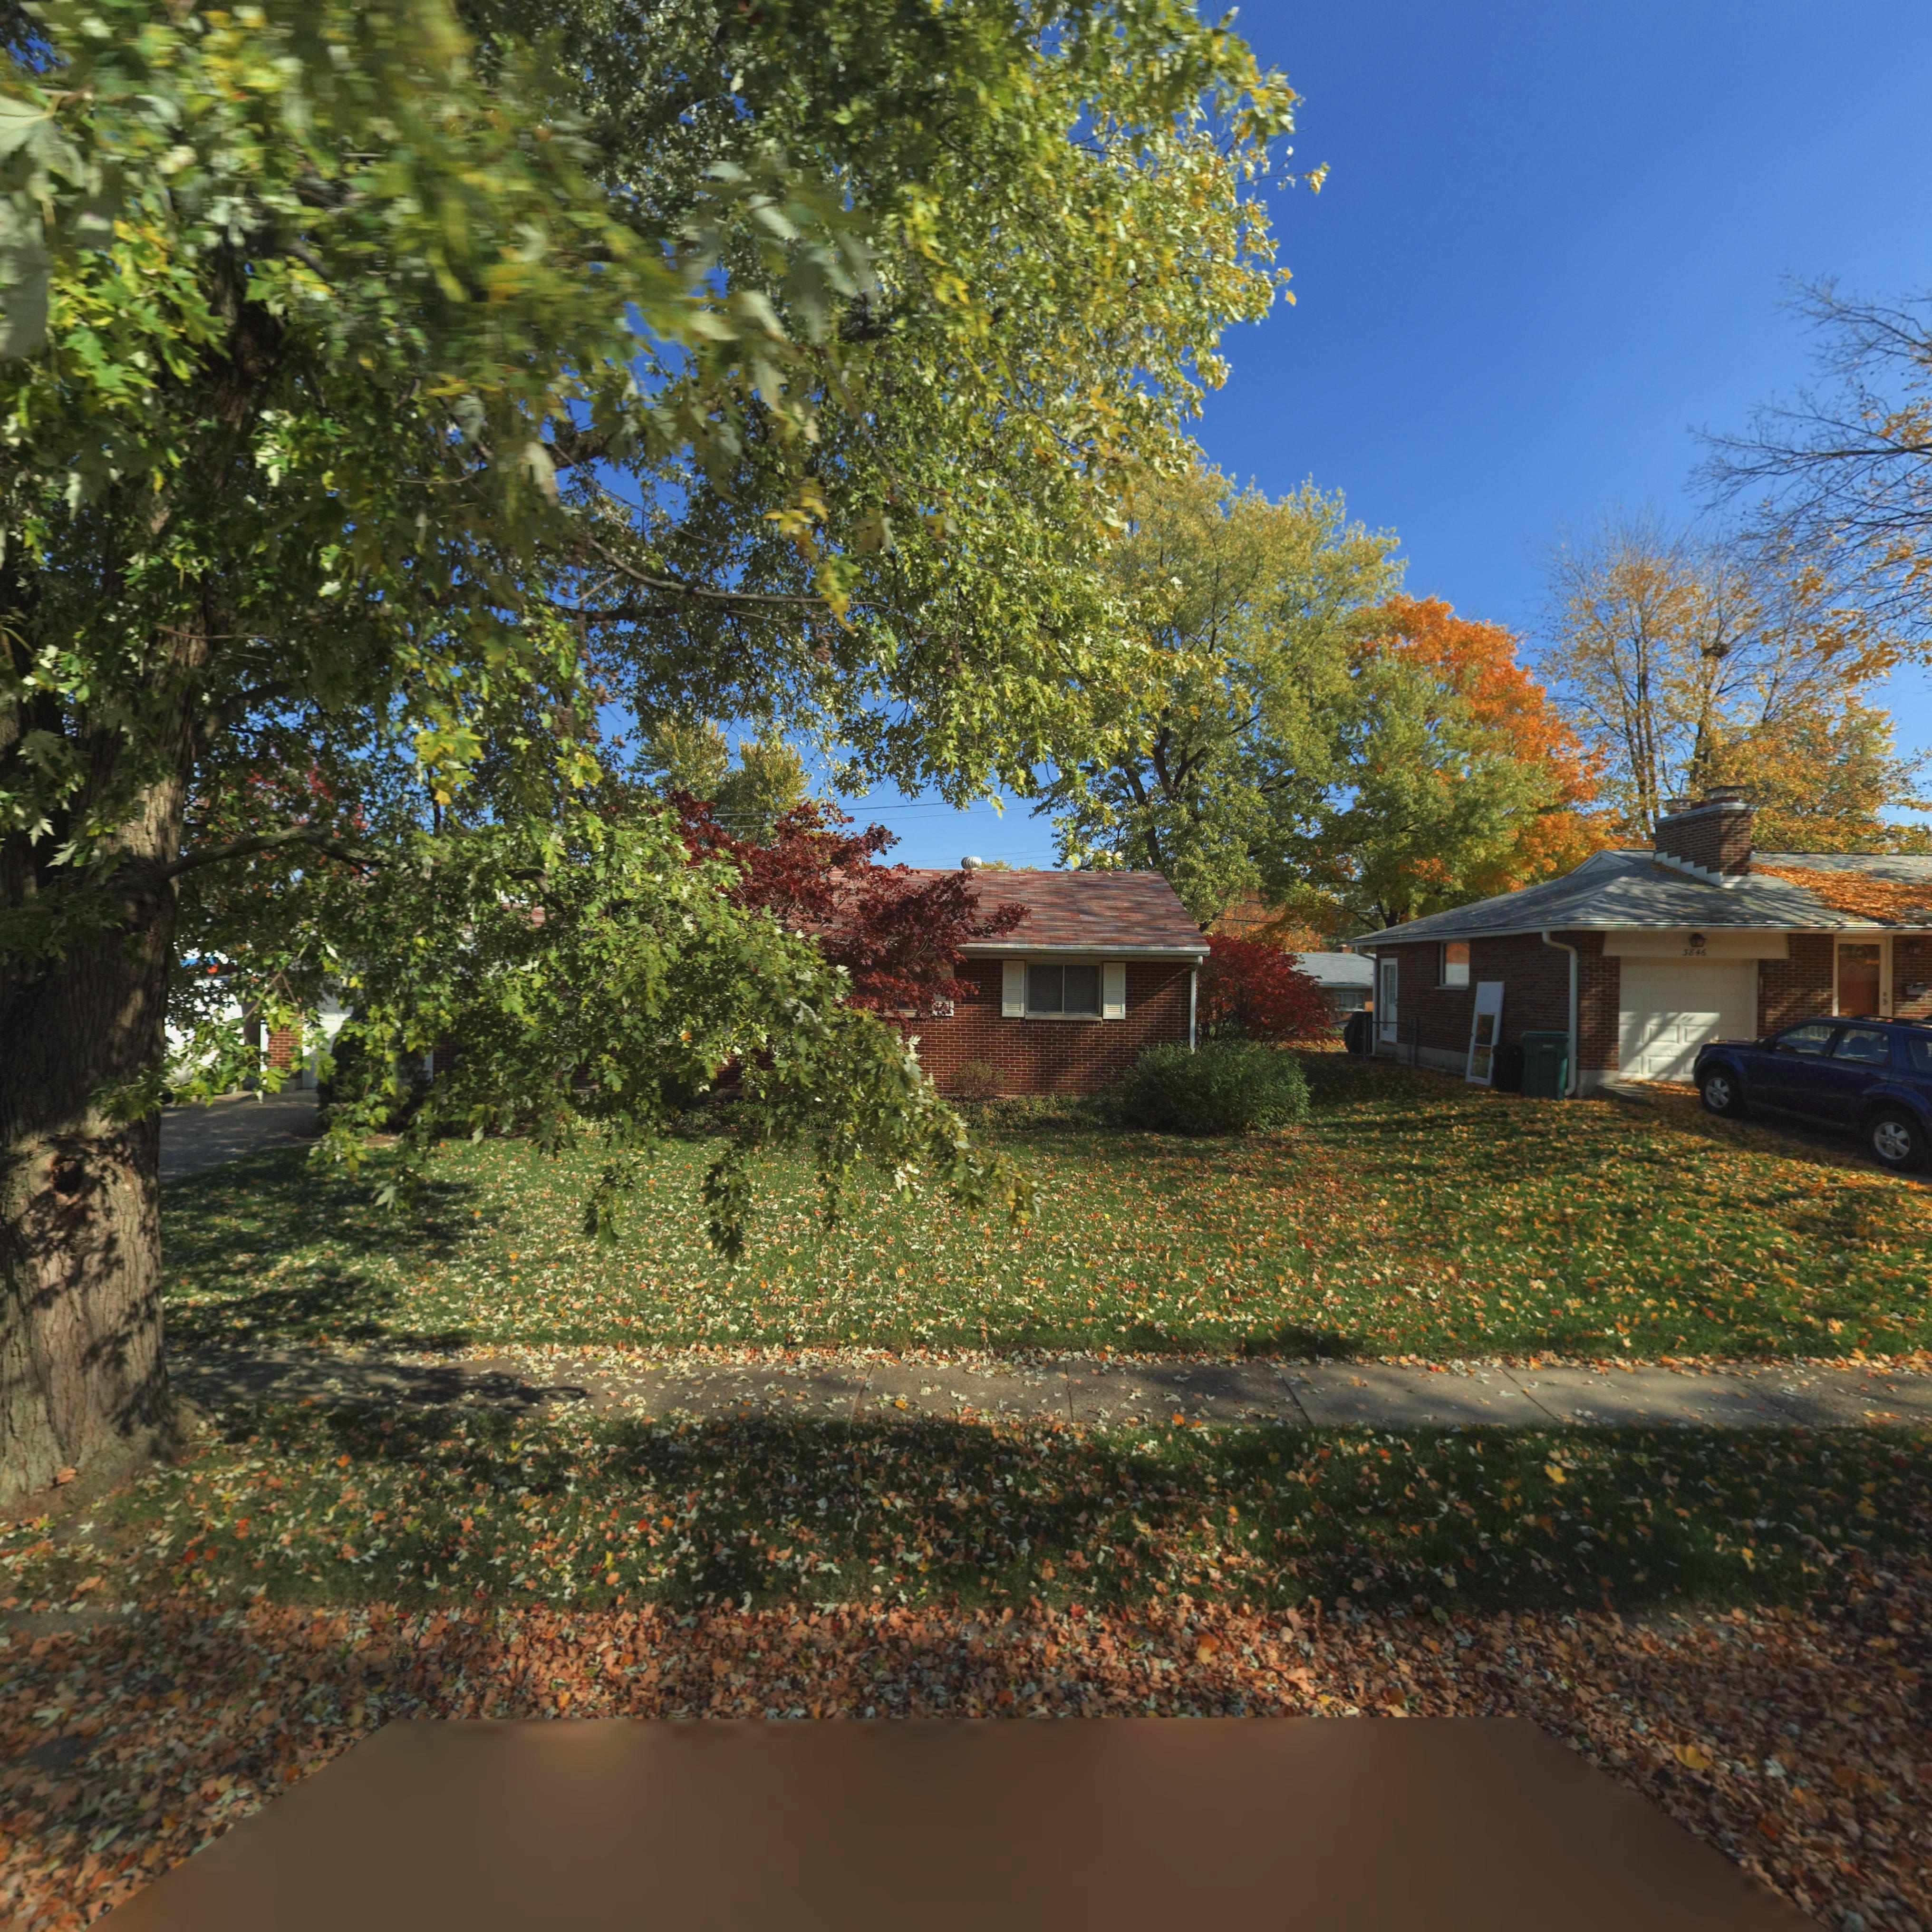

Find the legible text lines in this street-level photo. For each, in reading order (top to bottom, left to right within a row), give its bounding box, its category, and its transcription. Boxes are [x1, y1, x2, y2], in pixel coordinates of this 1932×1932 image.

[1681, 947, 1708, 957] StreetNumber: 3846